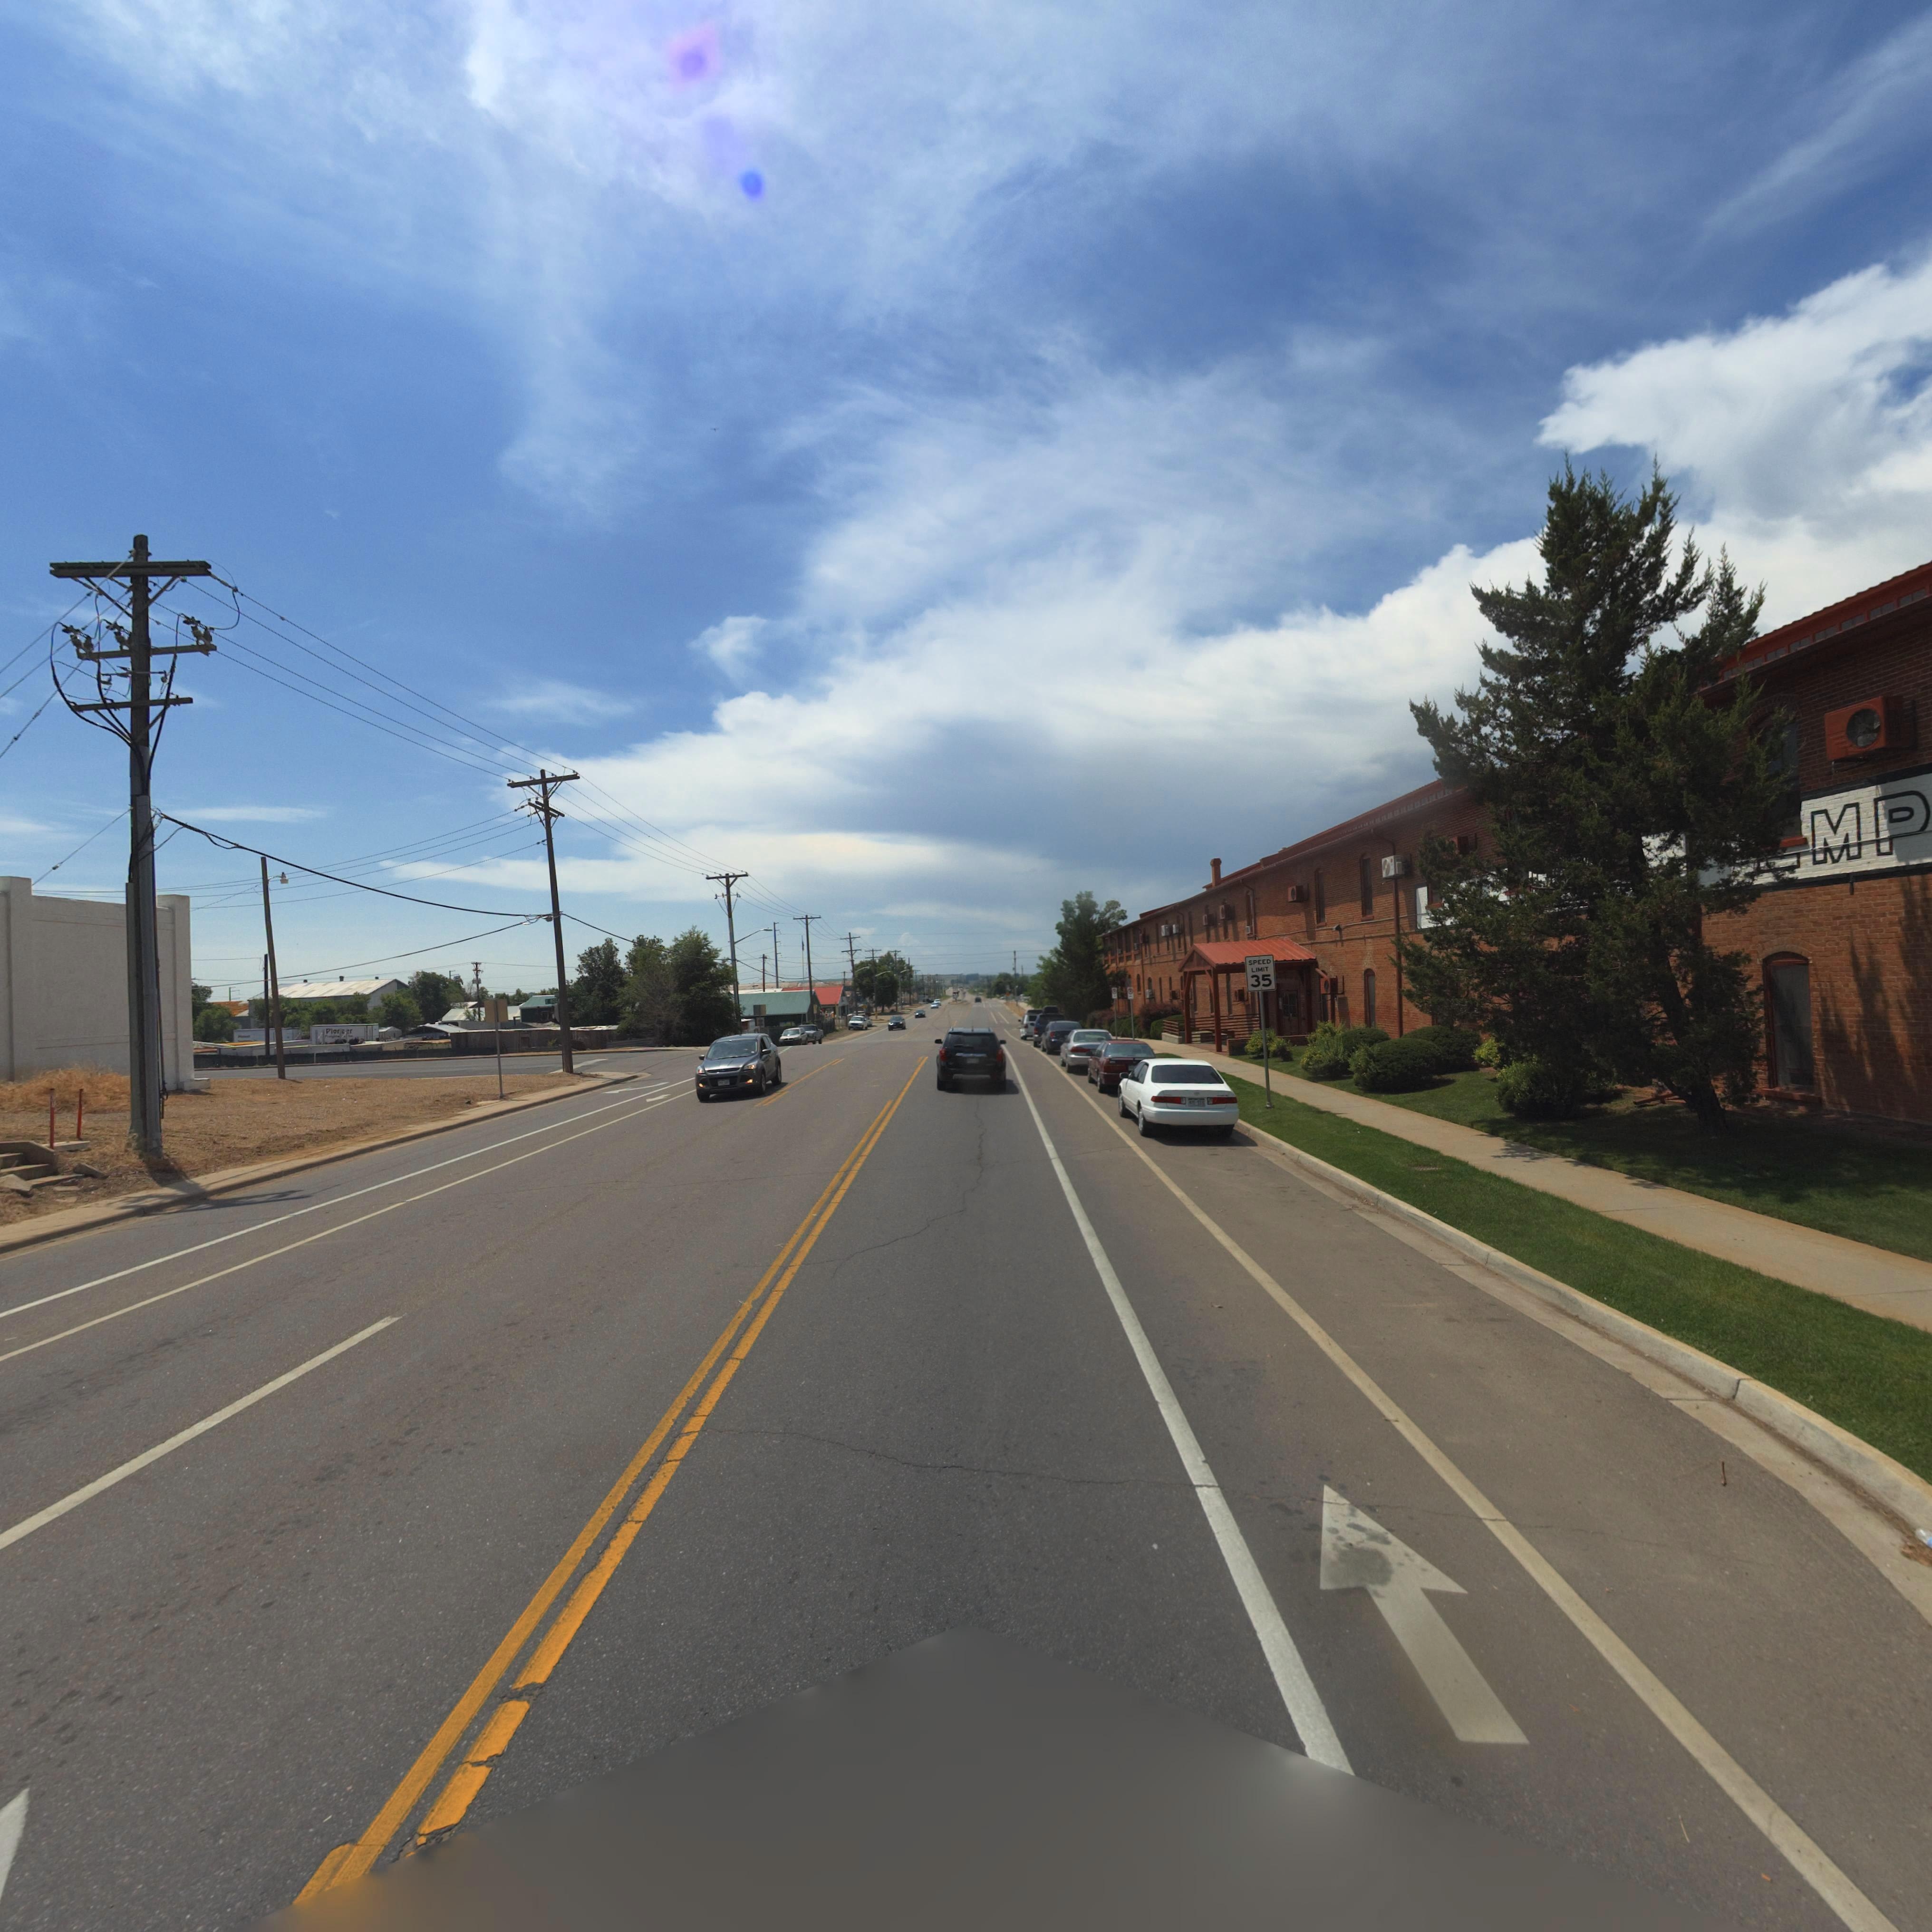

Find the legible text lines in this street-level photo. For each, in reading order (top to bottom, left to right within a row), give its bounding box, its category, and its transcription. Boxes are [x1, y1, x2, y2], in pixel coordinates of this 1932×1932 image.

[545, 997, 573, 1004] StreetName: E ROG*** RD